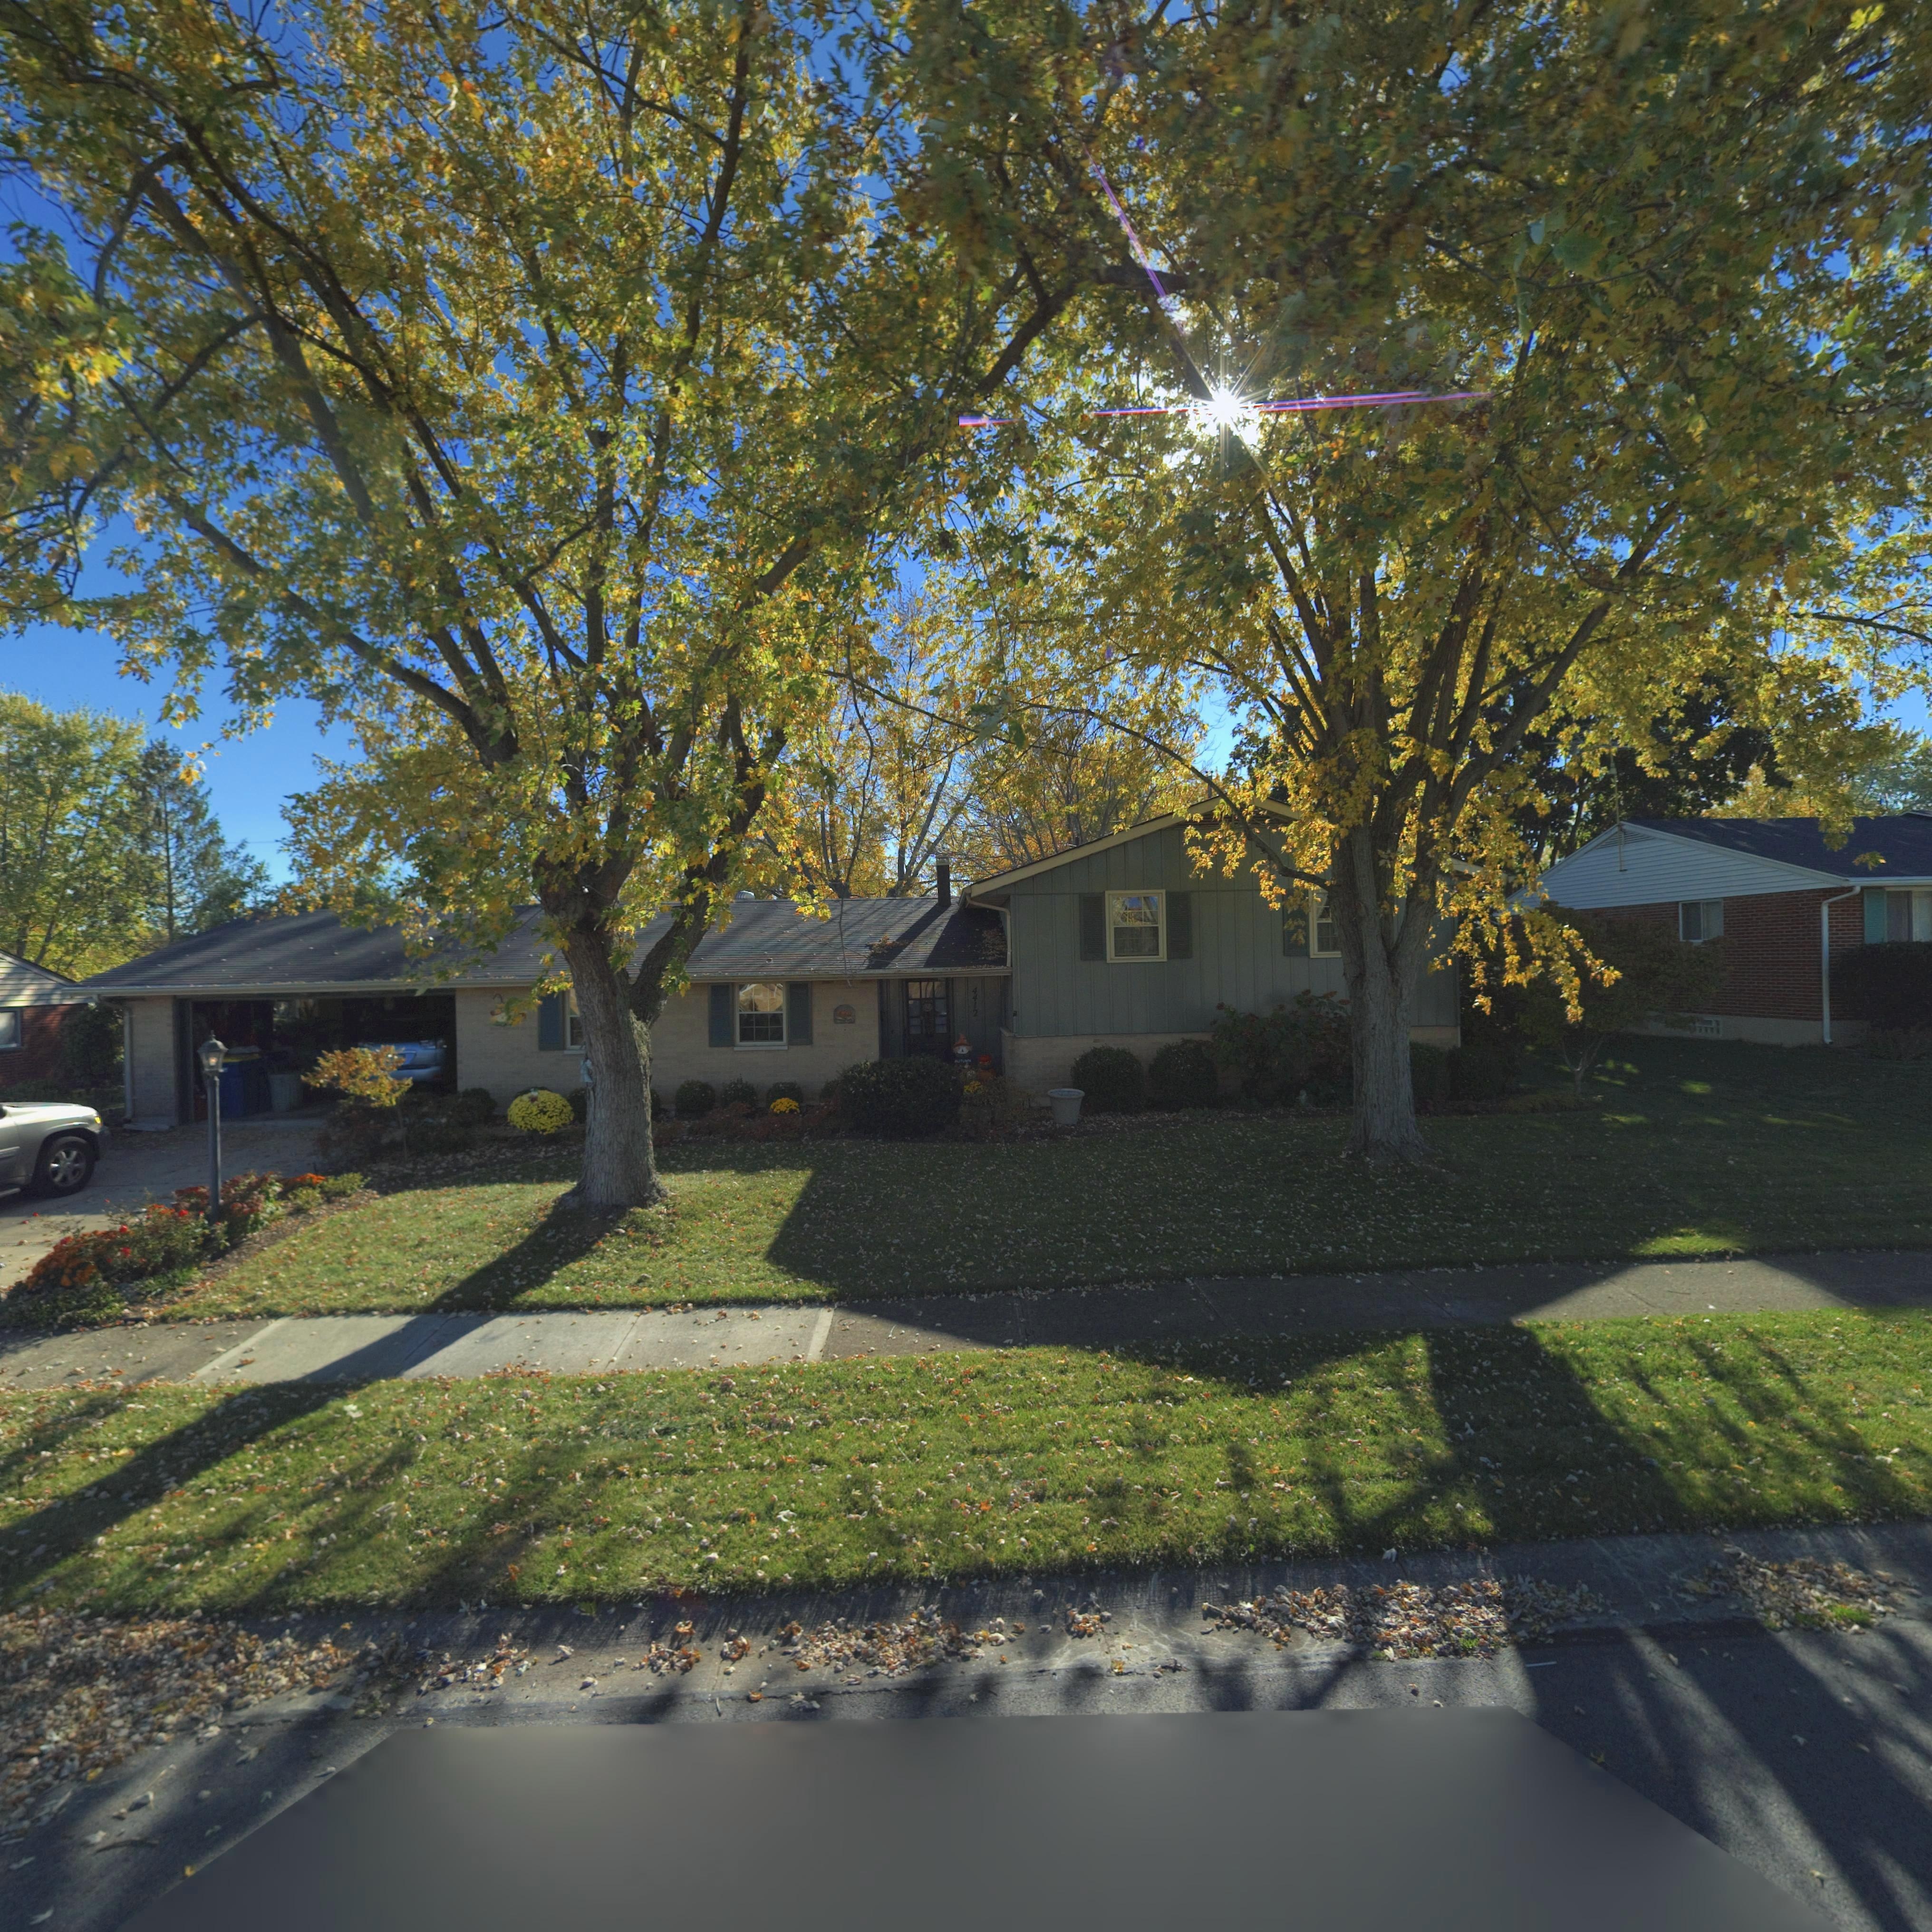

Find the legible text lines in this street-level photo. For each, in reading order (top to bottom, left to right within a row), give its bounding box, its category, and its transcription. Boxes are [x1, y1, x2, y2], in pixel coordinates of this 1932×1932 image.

[972, 986, 978, 1017] StreetNumber: 4412